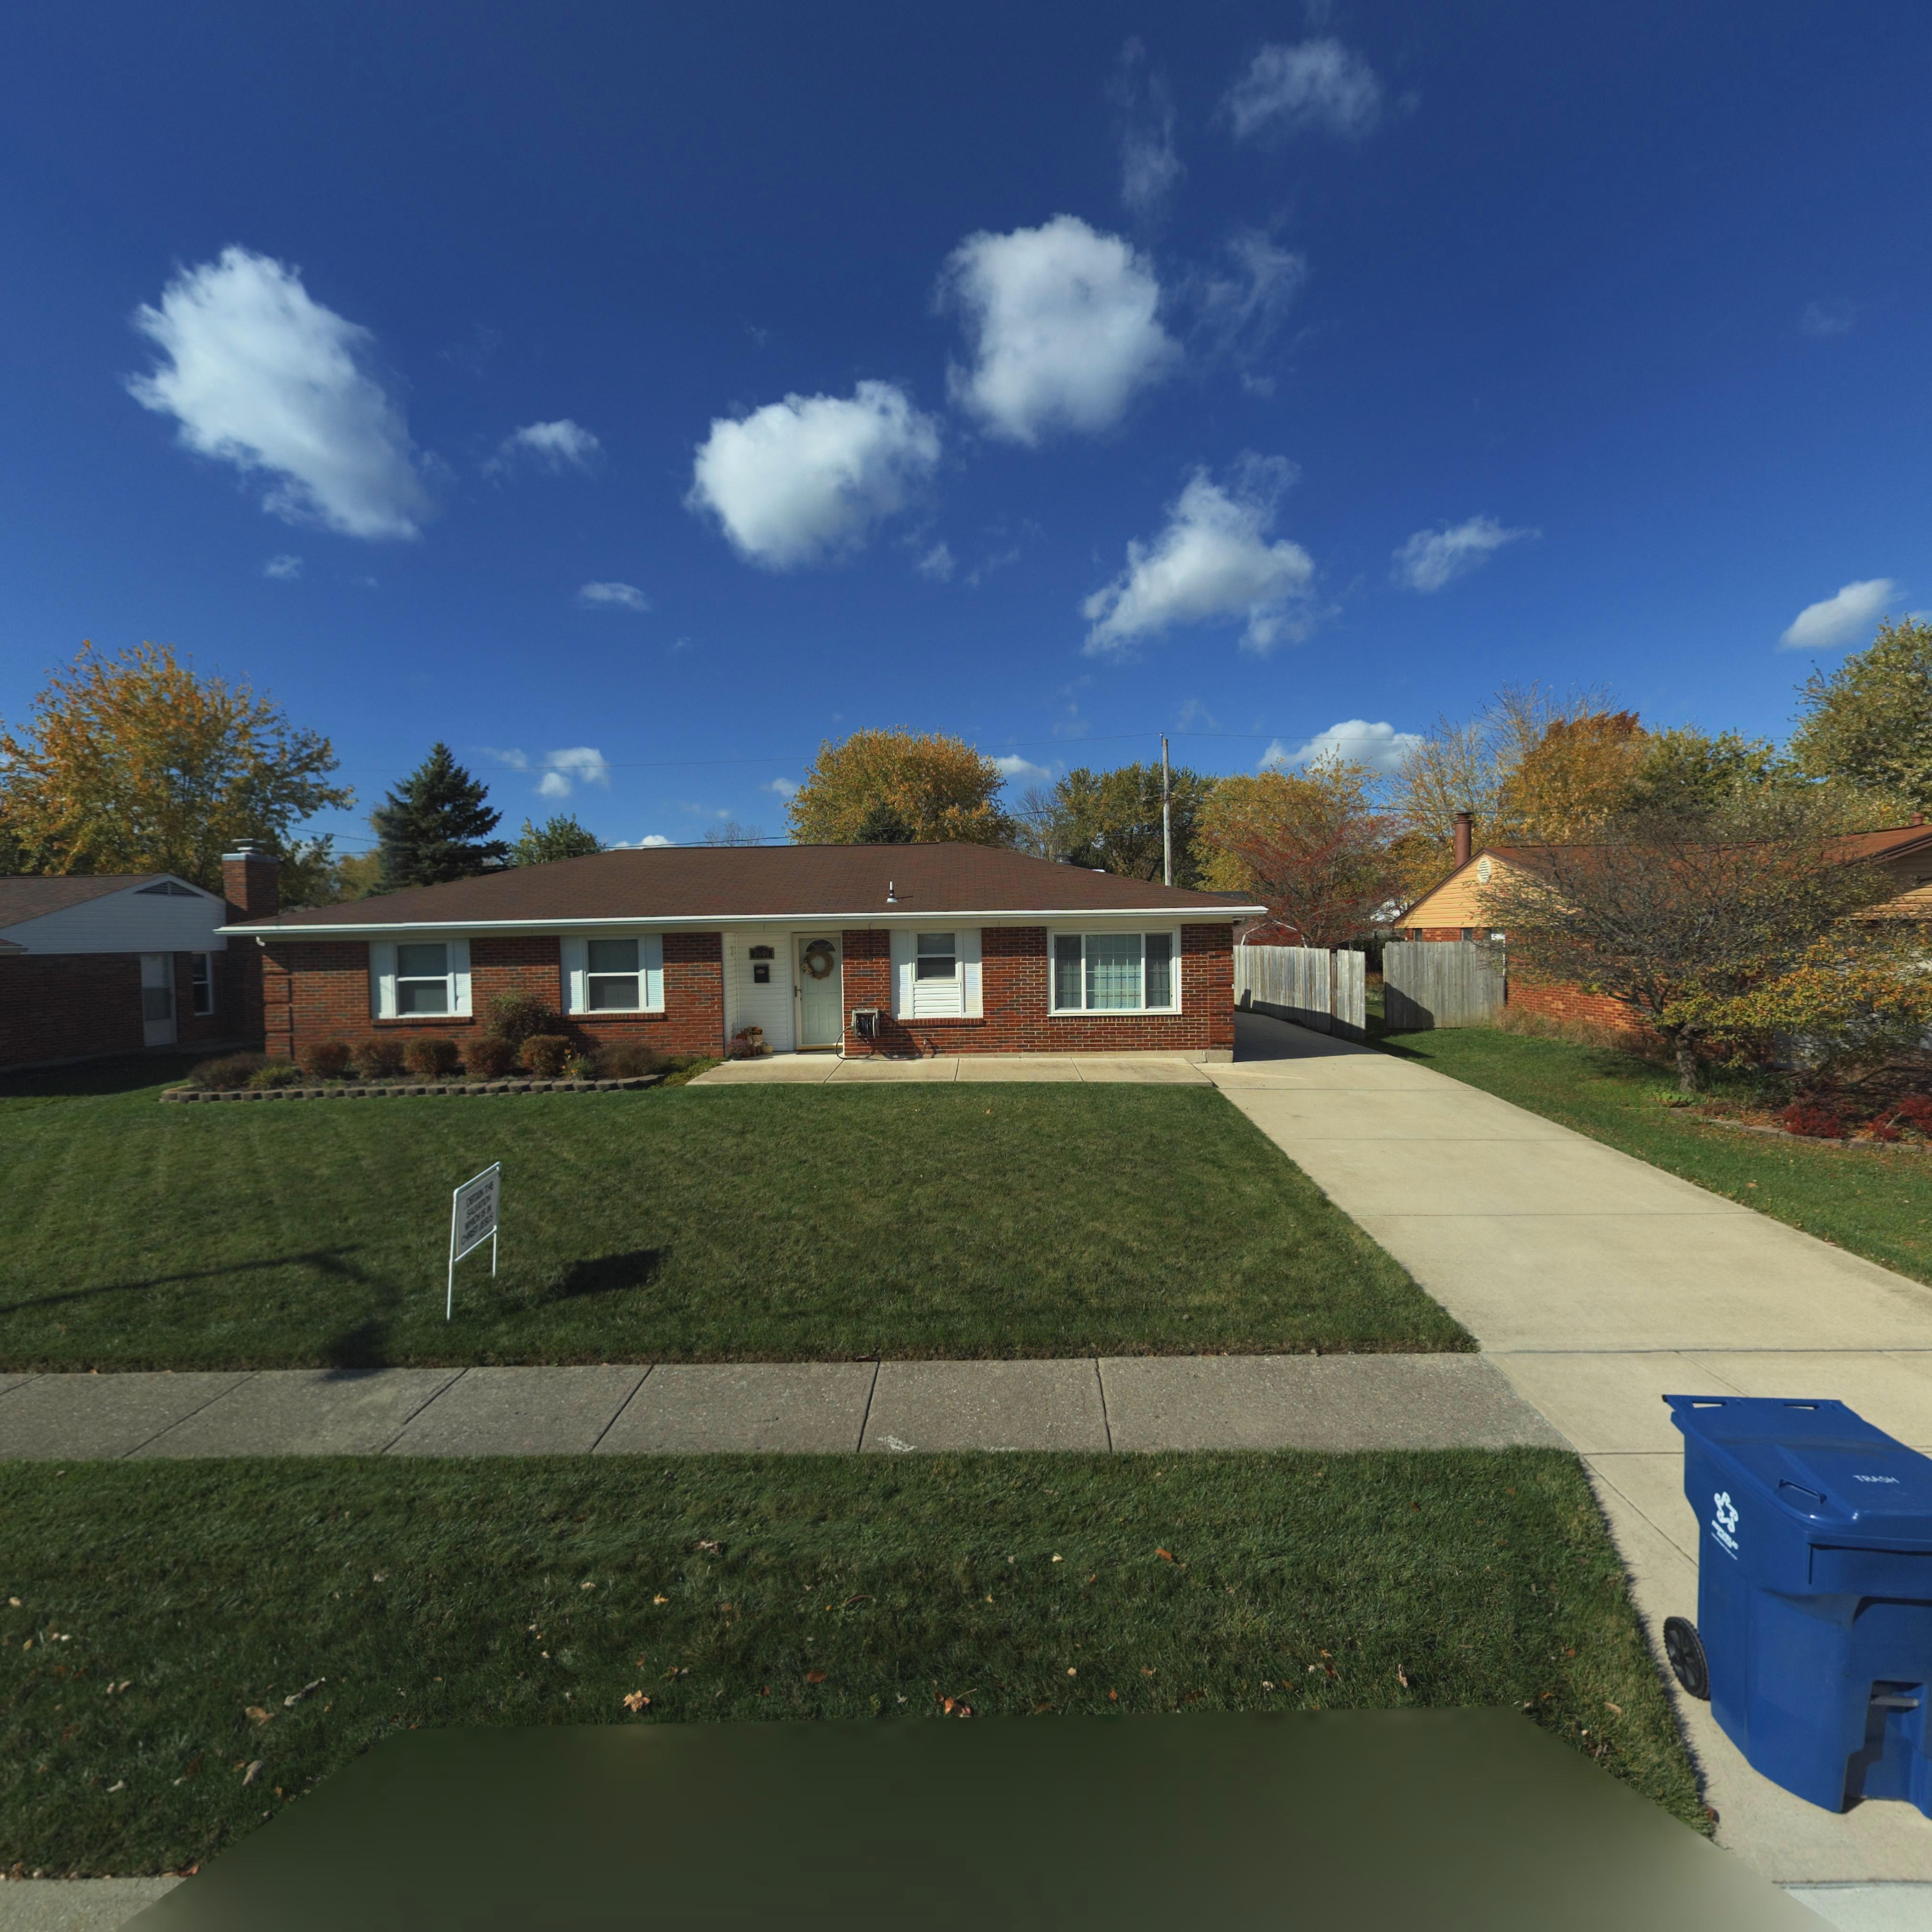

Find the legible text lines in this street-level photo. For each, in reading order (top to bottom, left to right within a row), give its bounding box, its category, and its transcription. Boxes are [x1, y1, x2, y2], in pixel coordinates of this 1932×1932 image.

[752, 949, 771, 959] StreetNumber: 7649